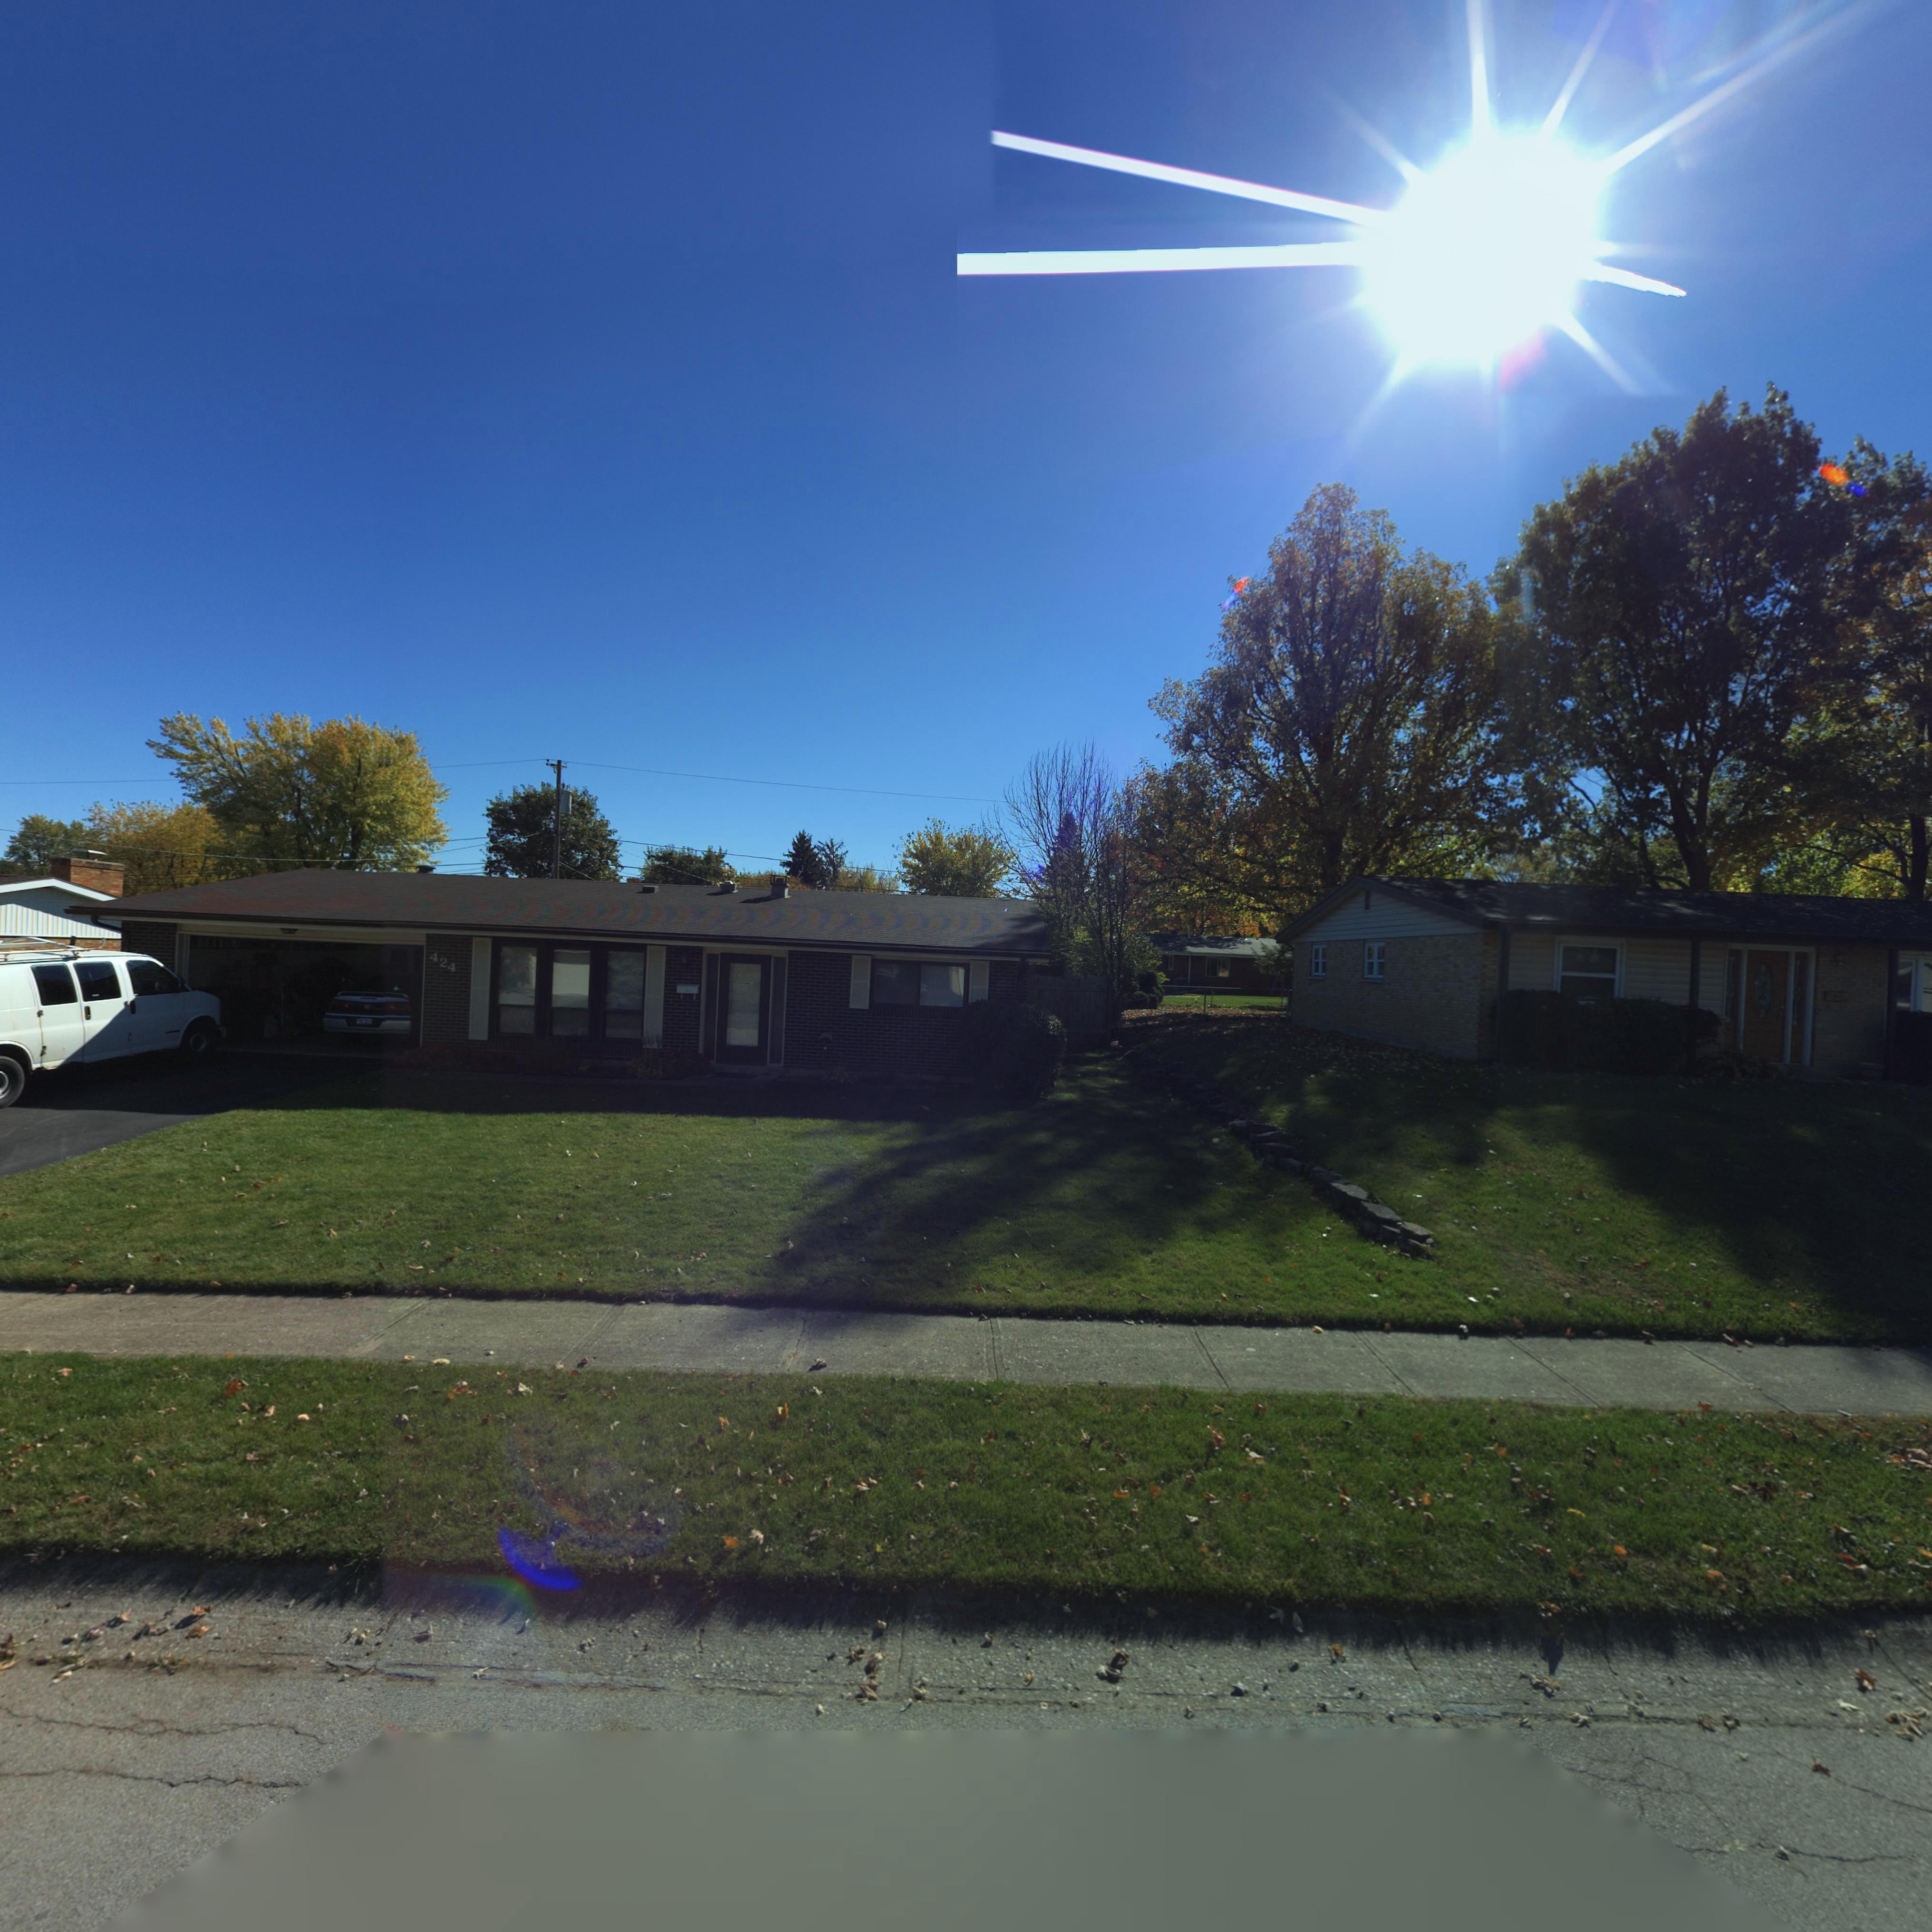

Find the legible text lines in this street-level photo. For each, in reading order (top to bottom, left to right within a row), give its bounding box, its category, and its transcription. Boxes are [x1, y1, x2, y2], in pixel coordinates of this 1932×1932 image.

[428, 951, 457, 973] StreetNumber: 424